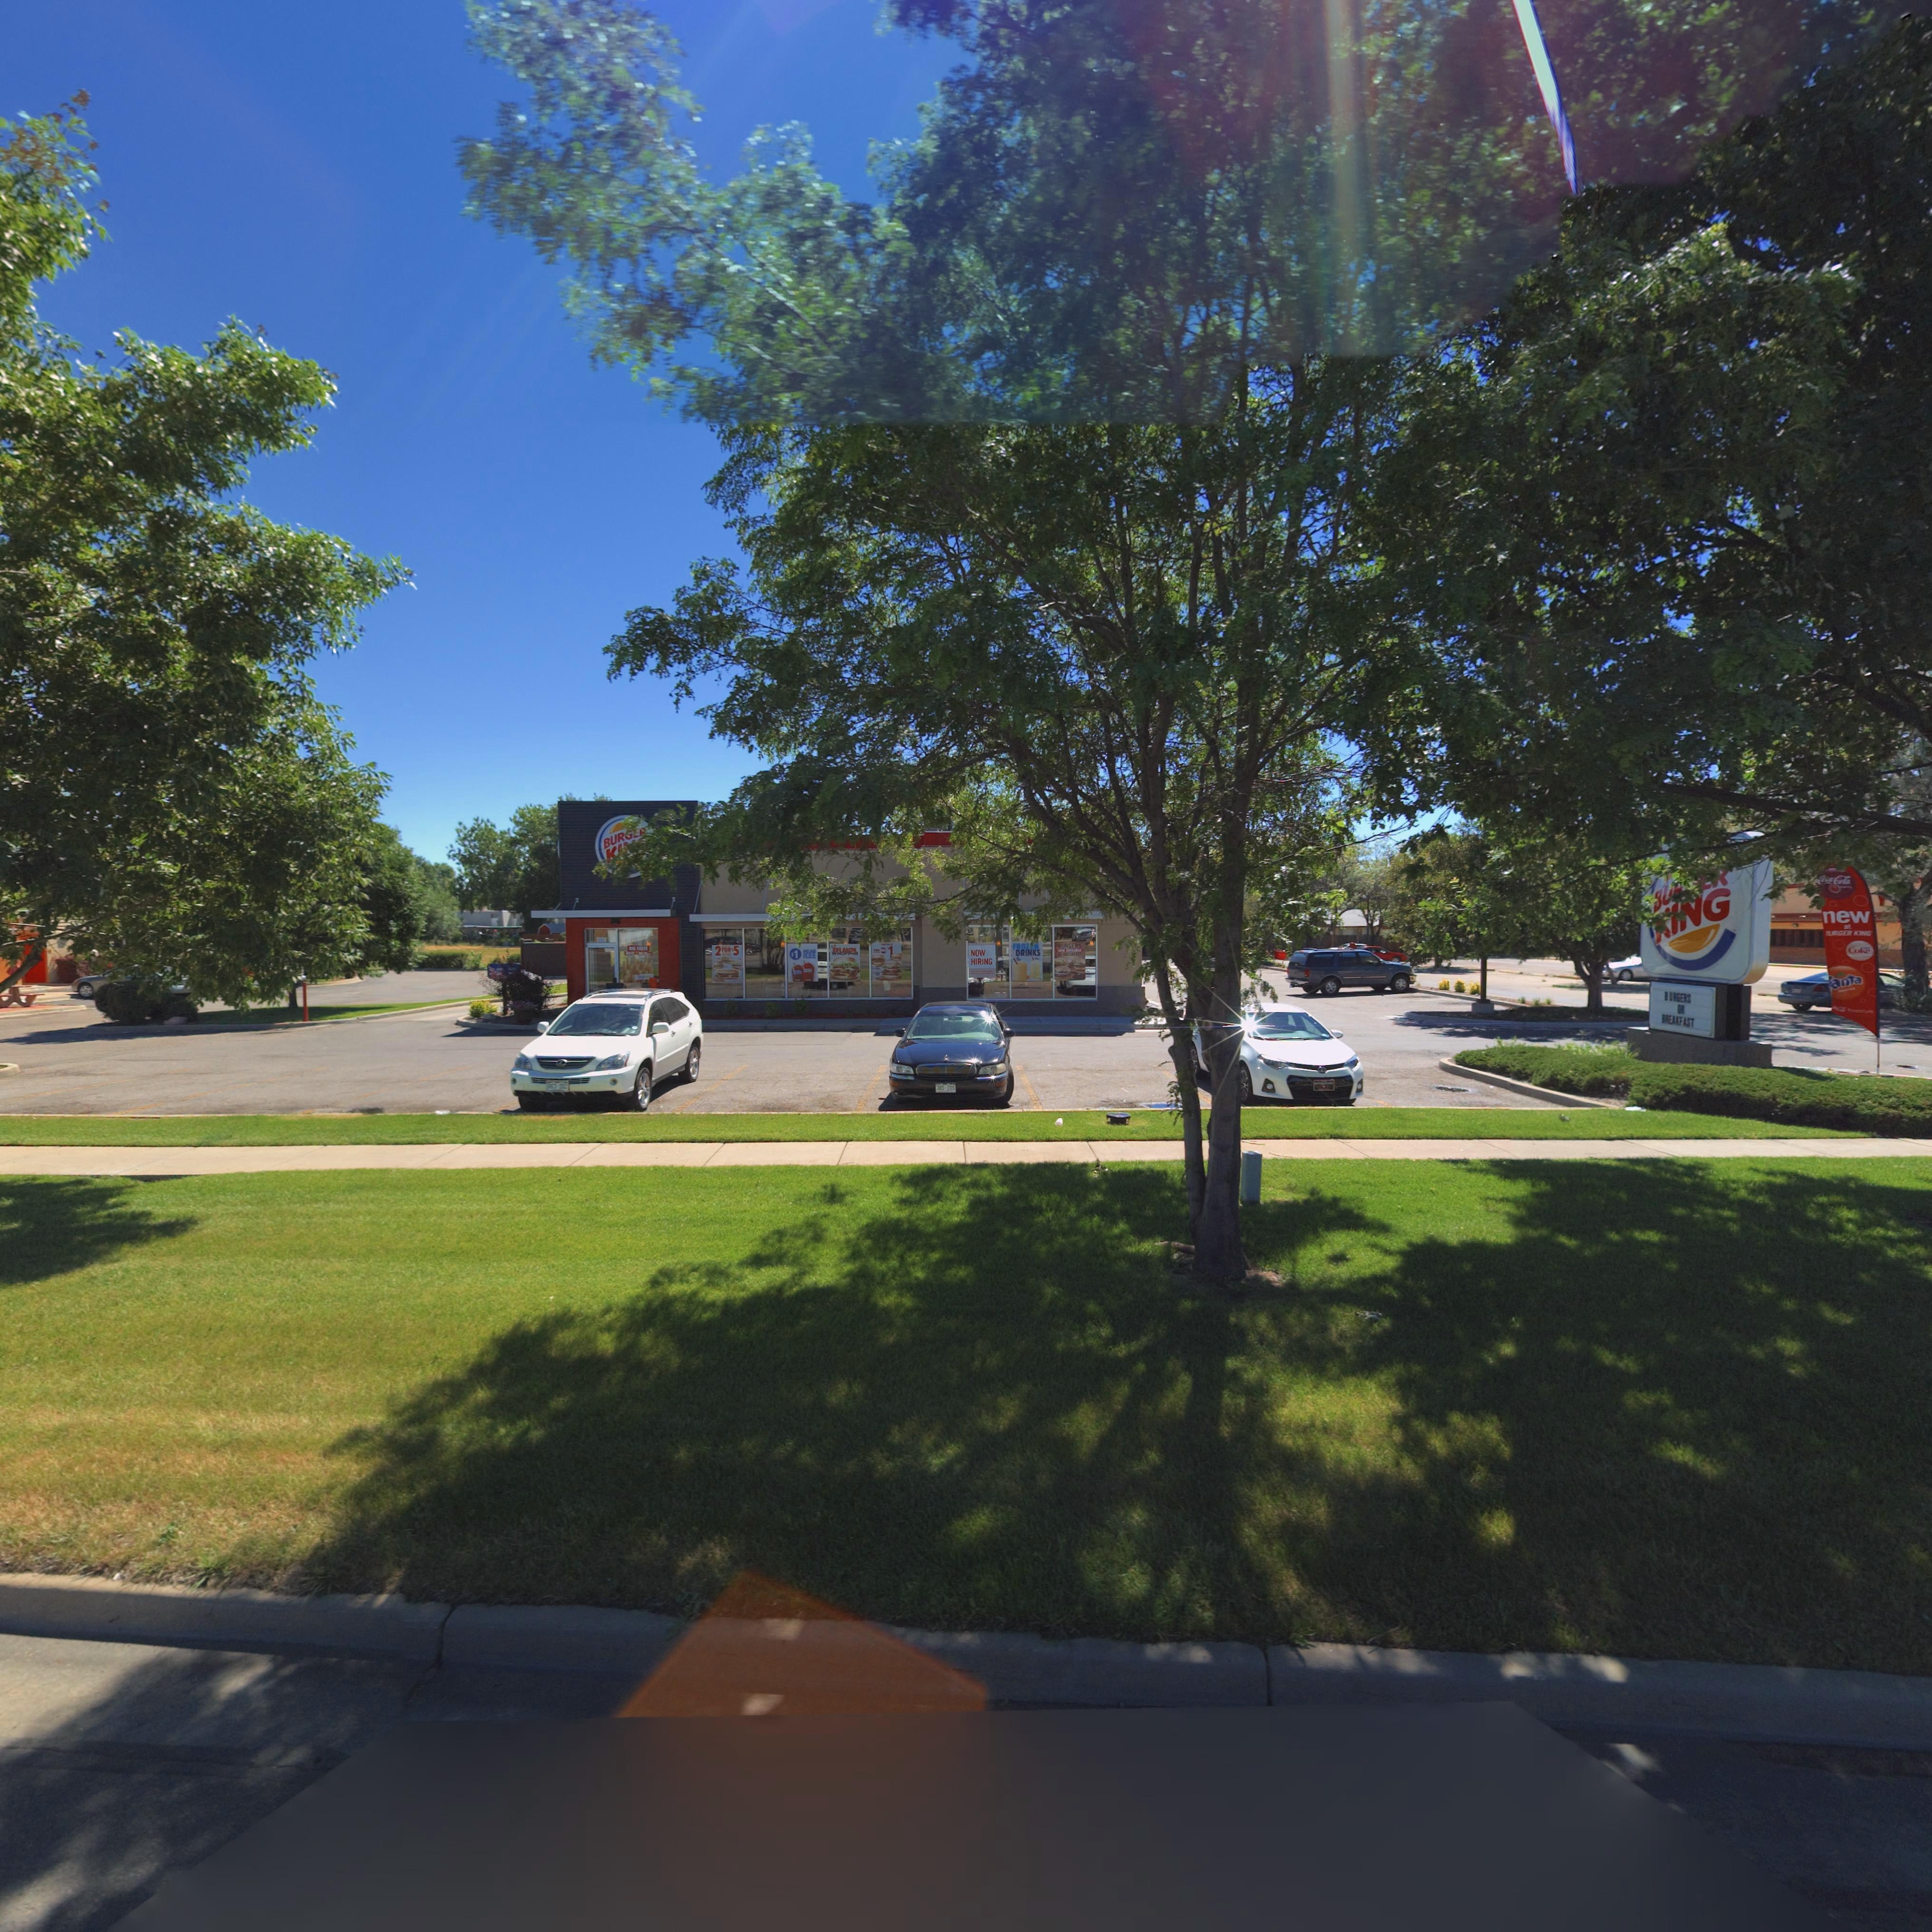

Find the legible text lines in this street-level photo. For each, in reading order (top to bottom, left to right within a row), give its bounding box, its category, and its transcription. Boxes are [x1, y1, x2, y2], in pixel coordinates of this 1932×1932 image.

[603, 826, 647, 850] BusinessName: BUR***